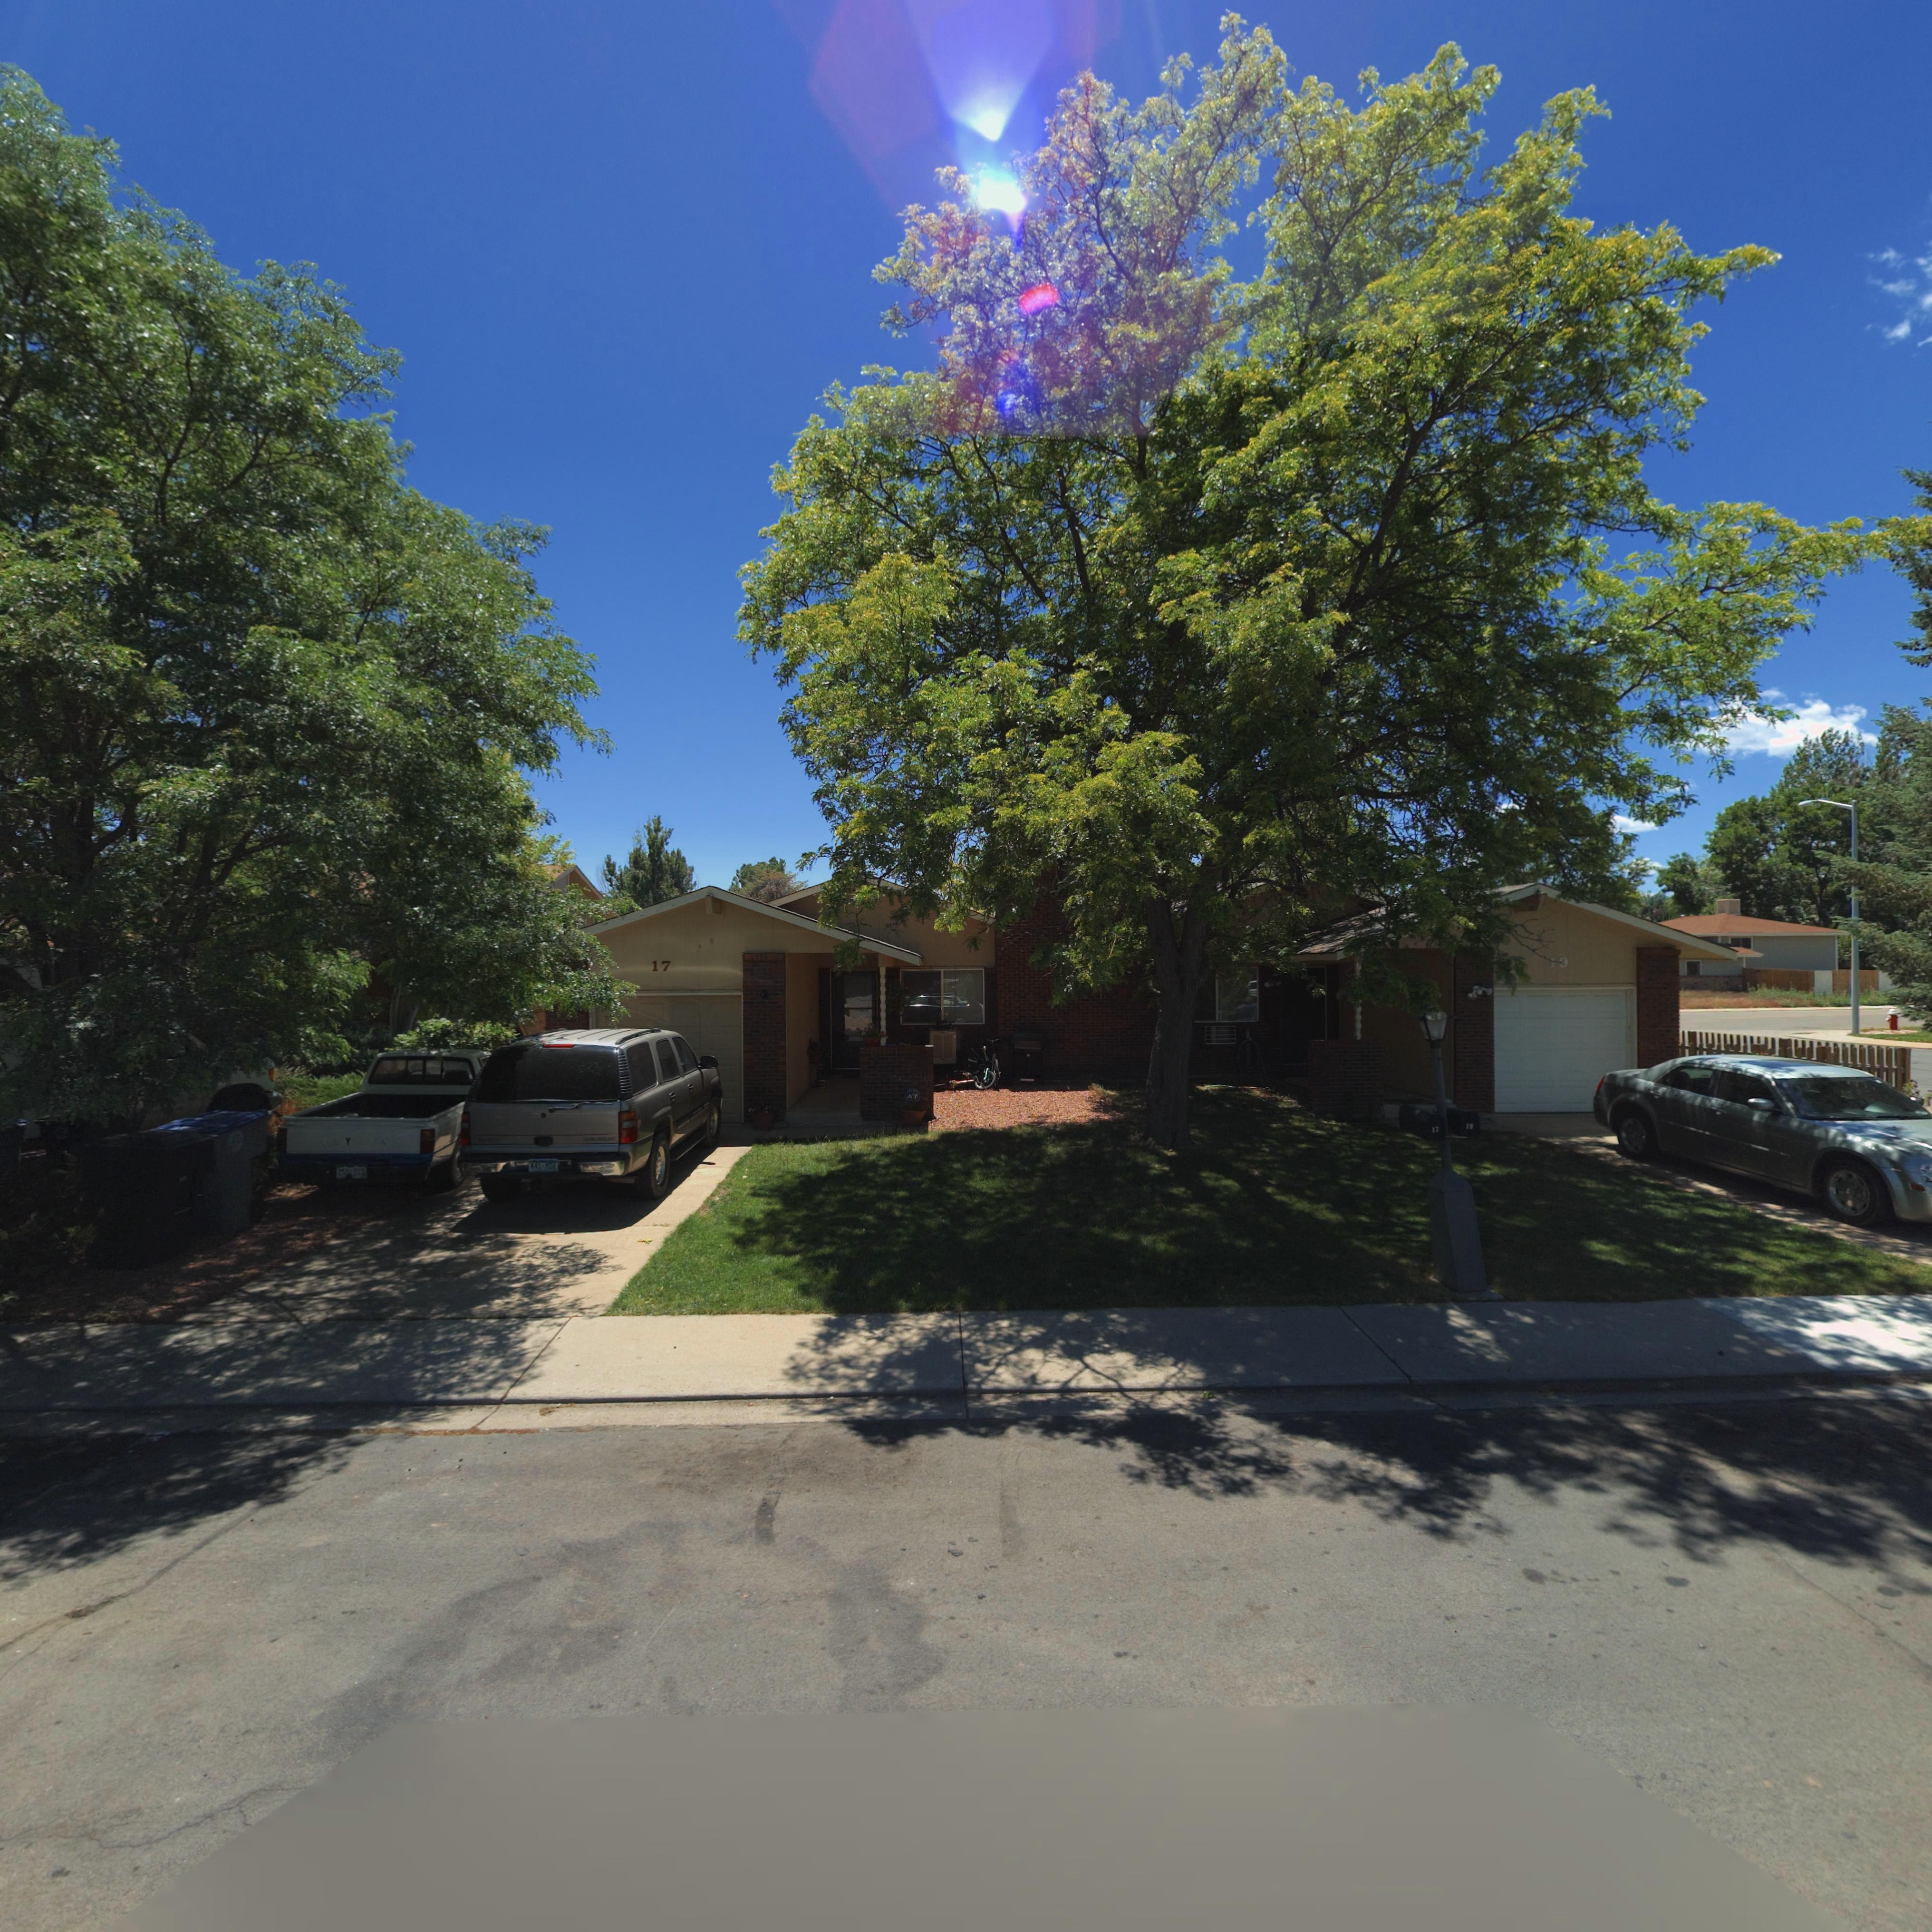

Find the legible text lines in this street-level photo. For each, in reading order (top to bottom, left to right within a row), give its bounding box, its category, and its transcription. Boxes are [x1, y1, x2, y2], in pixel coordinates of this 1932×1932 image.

[651, 960, 671, 971] StreetNumber: 17
[1549, 956, 1568, 968] StreetNumber: 19
[1431, 1126, 1439, 1133] StreetNumber: 17
[1466, 1123, 1473, 1130] StreetNumber: 19